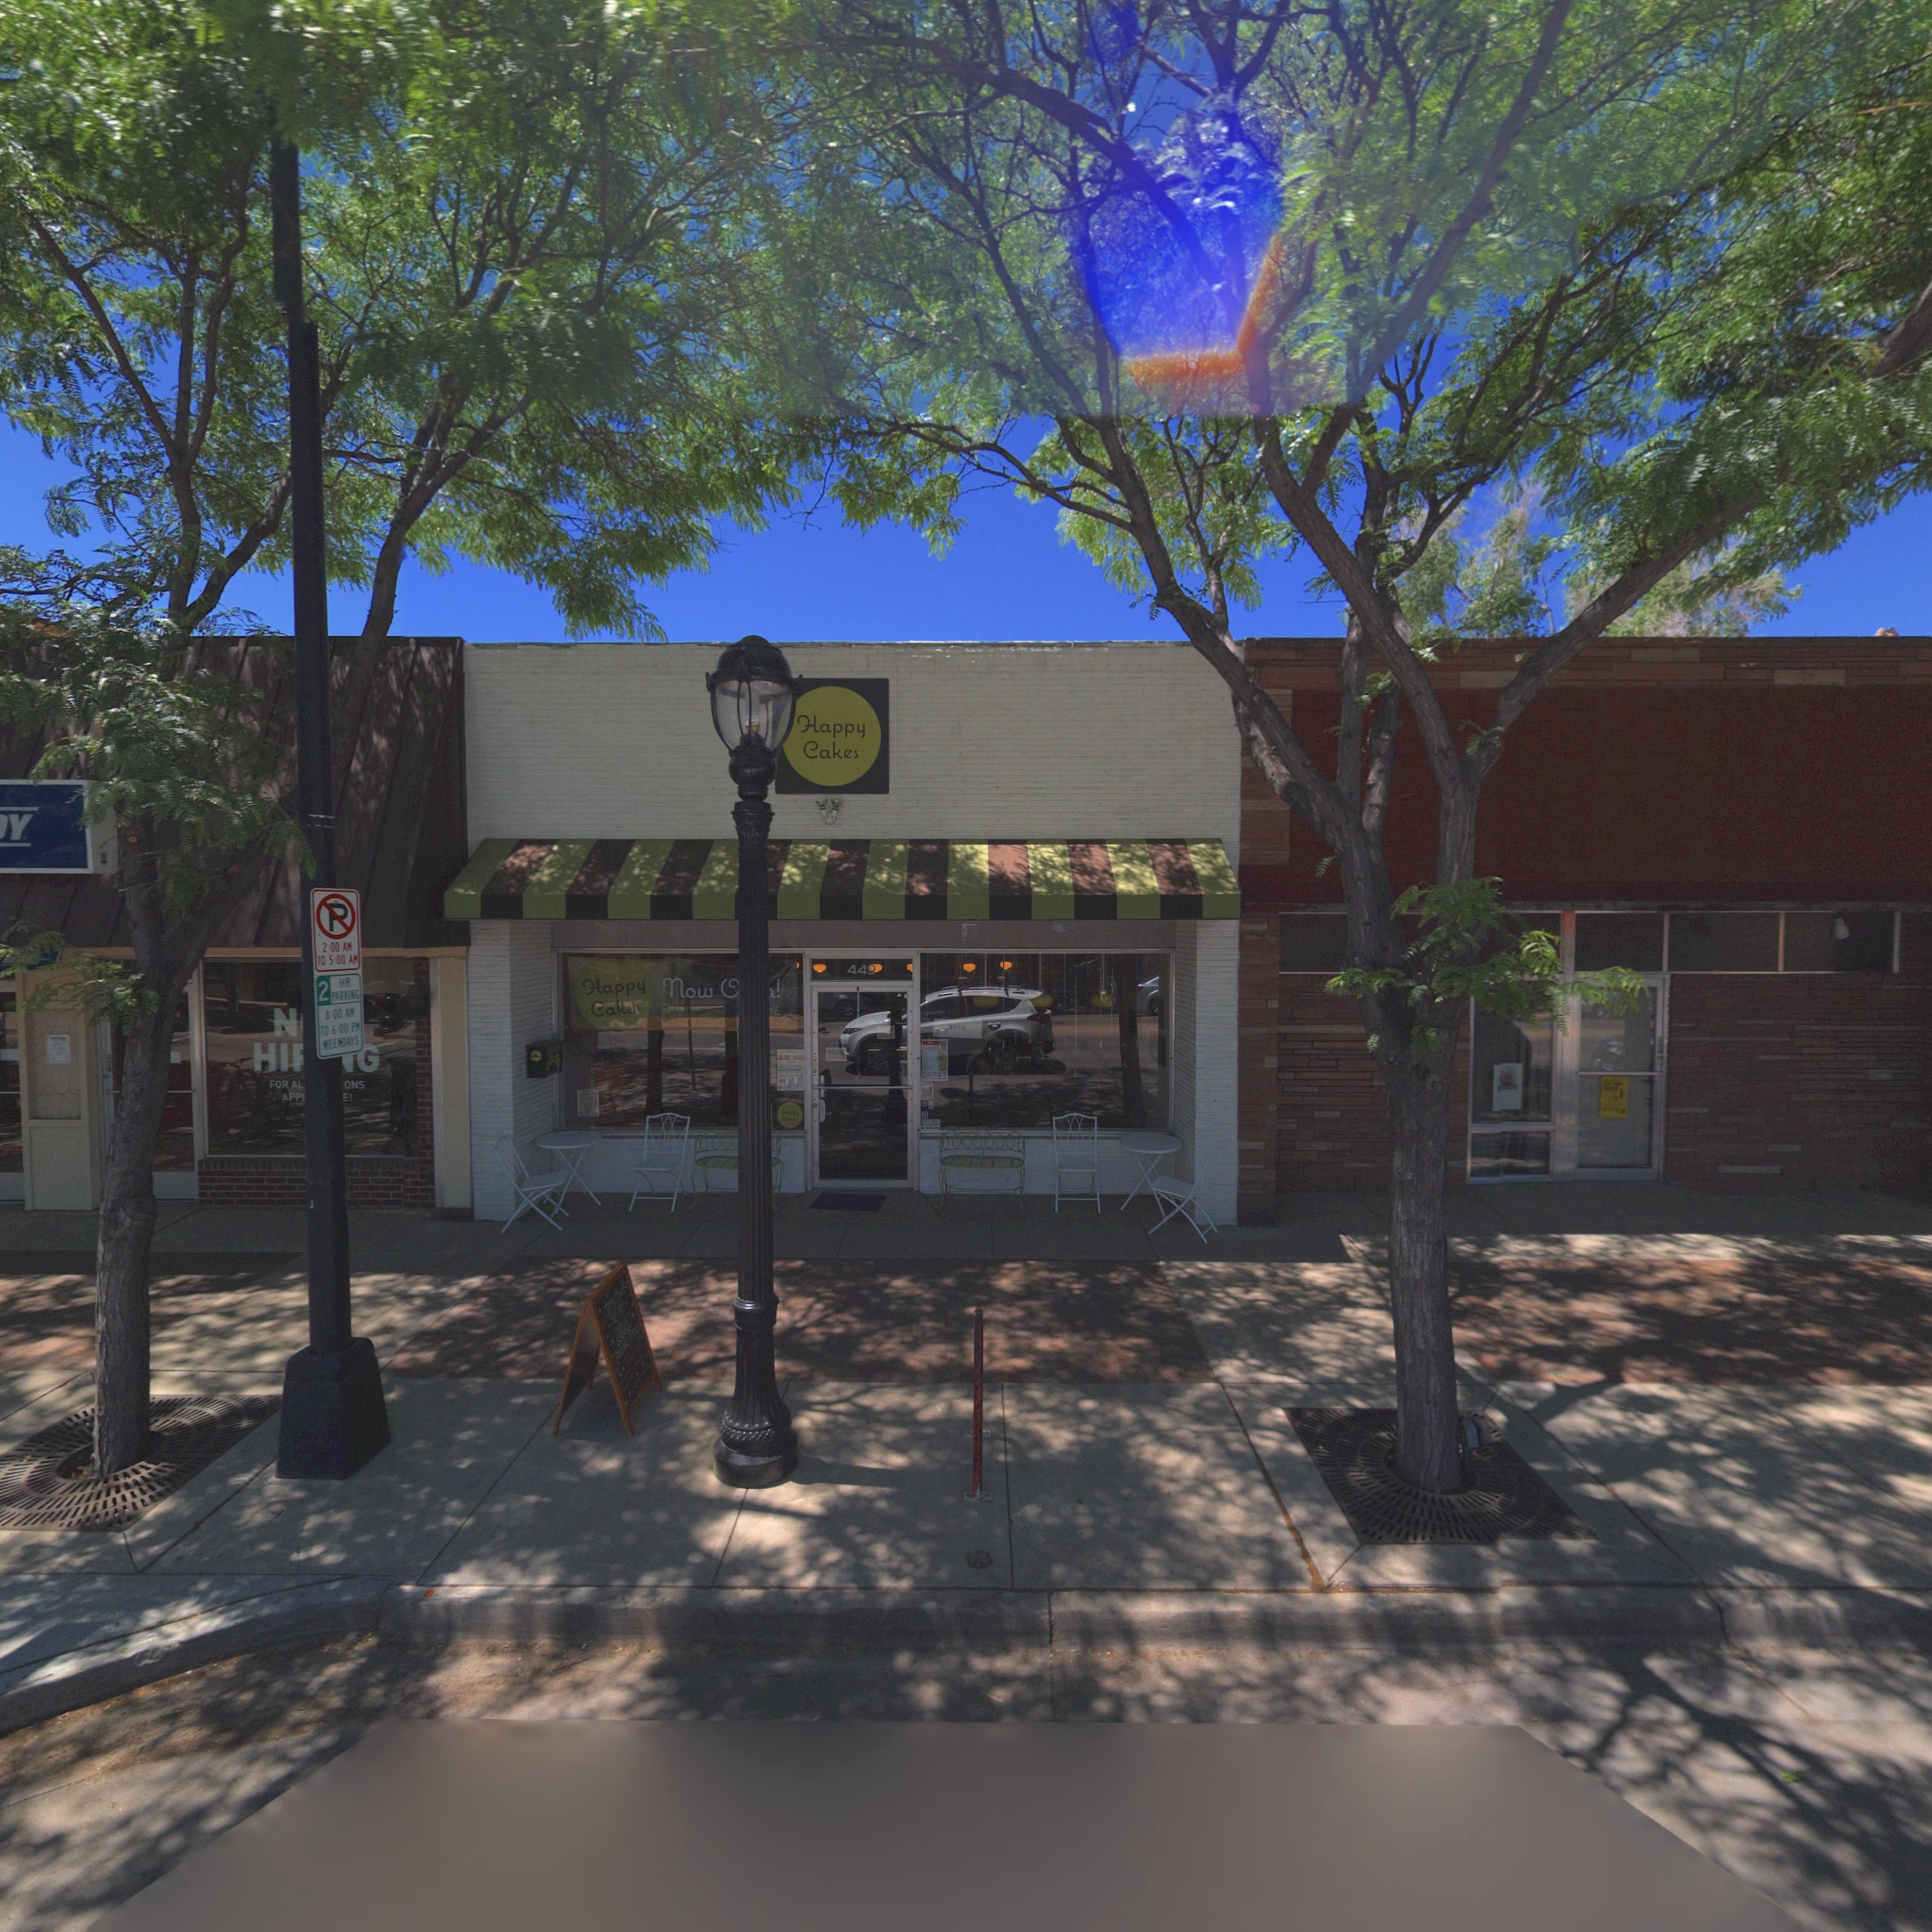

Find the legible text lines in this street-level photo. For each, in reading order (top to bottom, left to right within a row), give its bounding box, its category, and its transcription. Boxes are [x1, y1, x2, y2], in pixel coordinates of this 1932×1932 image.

[796, 714, 865, 738] BusinessName: Happy
[802, 740, 858, 759] BusinessName: Cakes
[8, 812, 33, 840] BusinessName: Y
[847, 963, 876, 975] StreetNumber: 449
[581, 977, 646, 997] BusinessName: Happy
[589, 998, 641, 1018] BusinessName: Cakes
[780, 1109, 800, 1117] BusinessName: Happy
[782, 1115, 798, 1121] BusinessName: Cakes